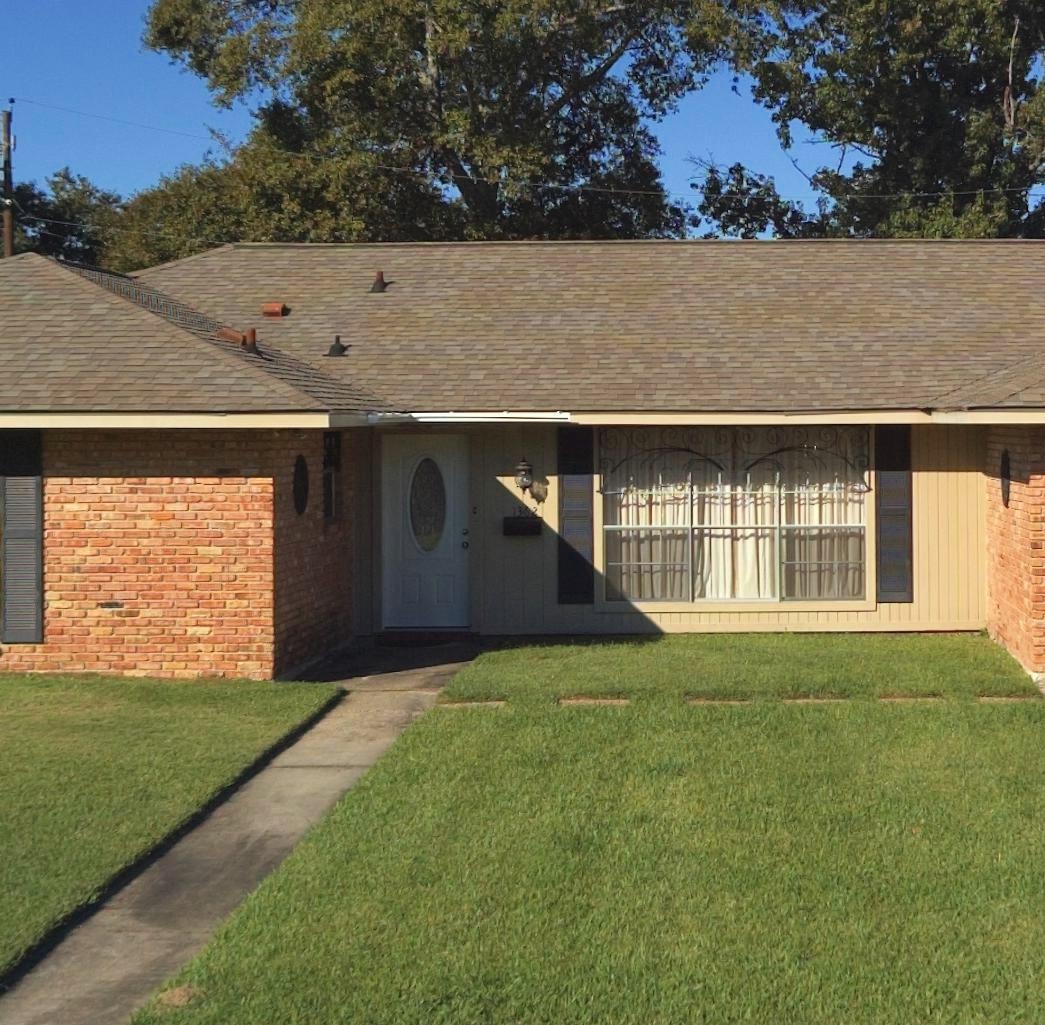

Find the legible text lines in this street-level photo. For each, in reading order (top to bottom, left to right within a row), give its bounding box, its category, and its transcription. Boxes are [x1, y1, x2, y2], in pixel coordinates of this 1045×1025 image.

[510, 505, 540, 519] StreetNumber: 1362